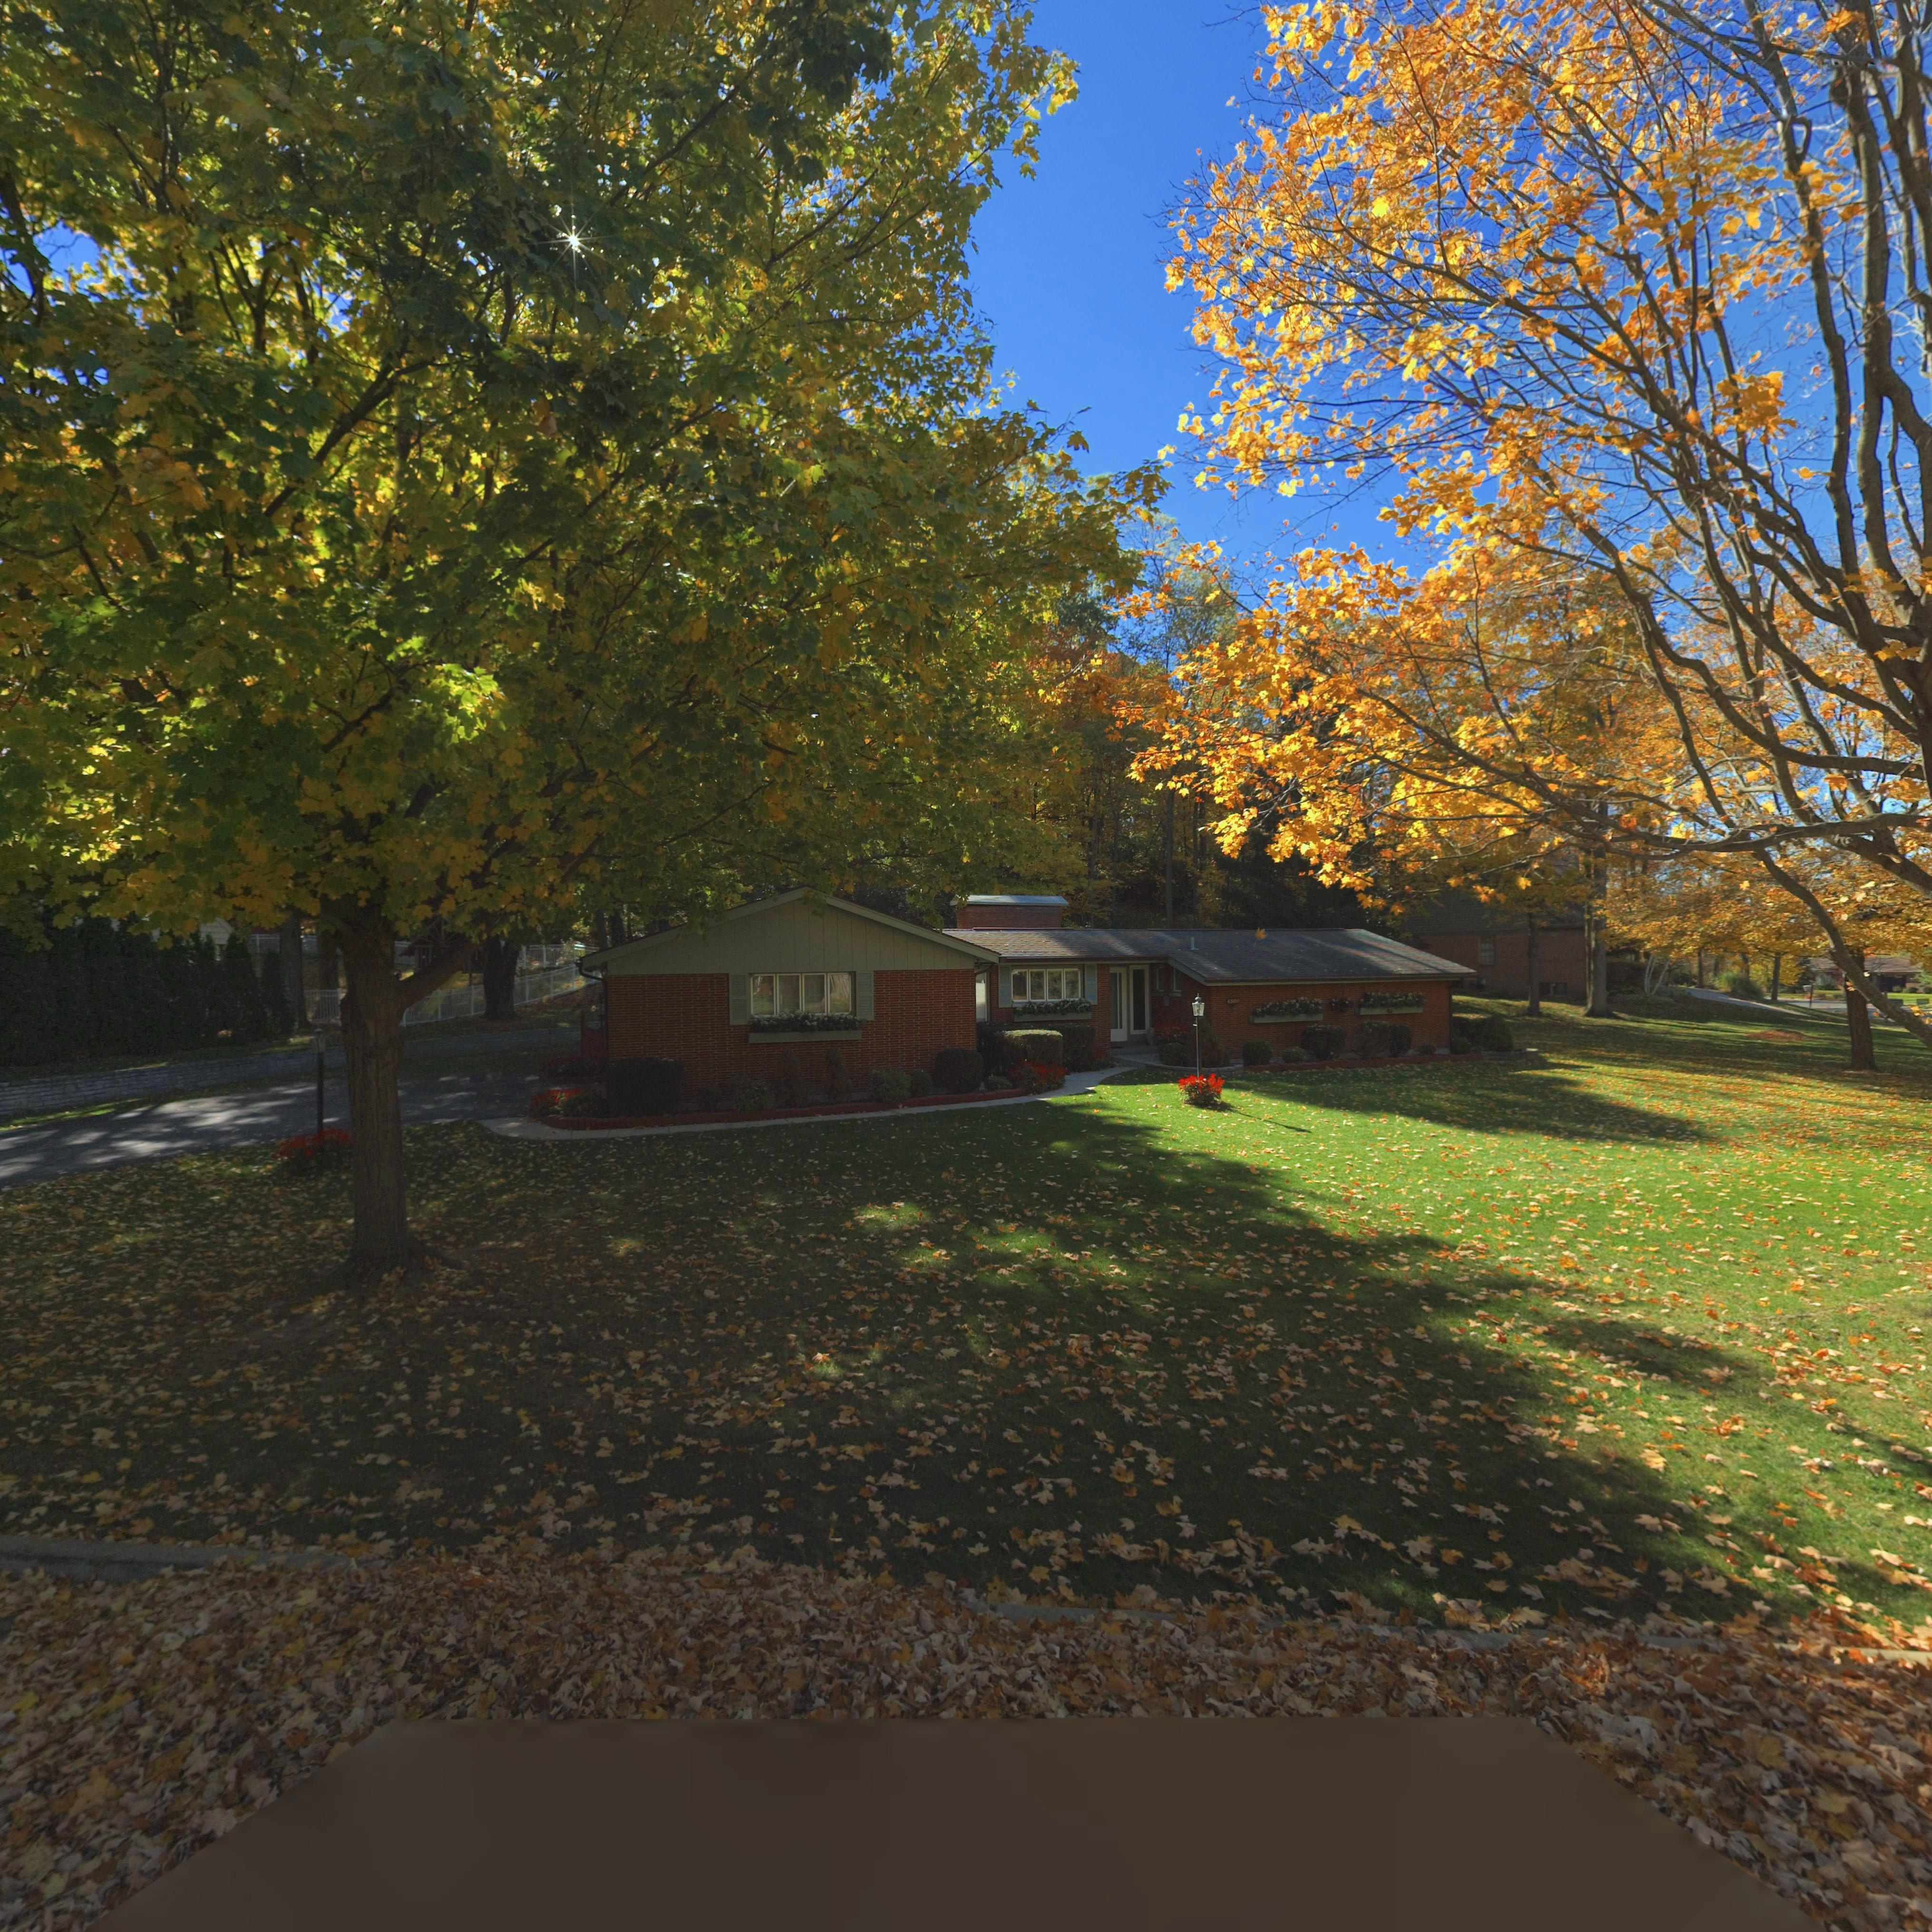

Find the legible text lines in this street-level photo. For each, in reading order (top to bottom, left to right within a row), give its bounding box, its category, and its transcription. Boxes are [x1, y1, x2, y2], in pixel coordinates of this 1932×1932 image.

[1226, 998, 1240, 1005] StreetNumber: 4*00